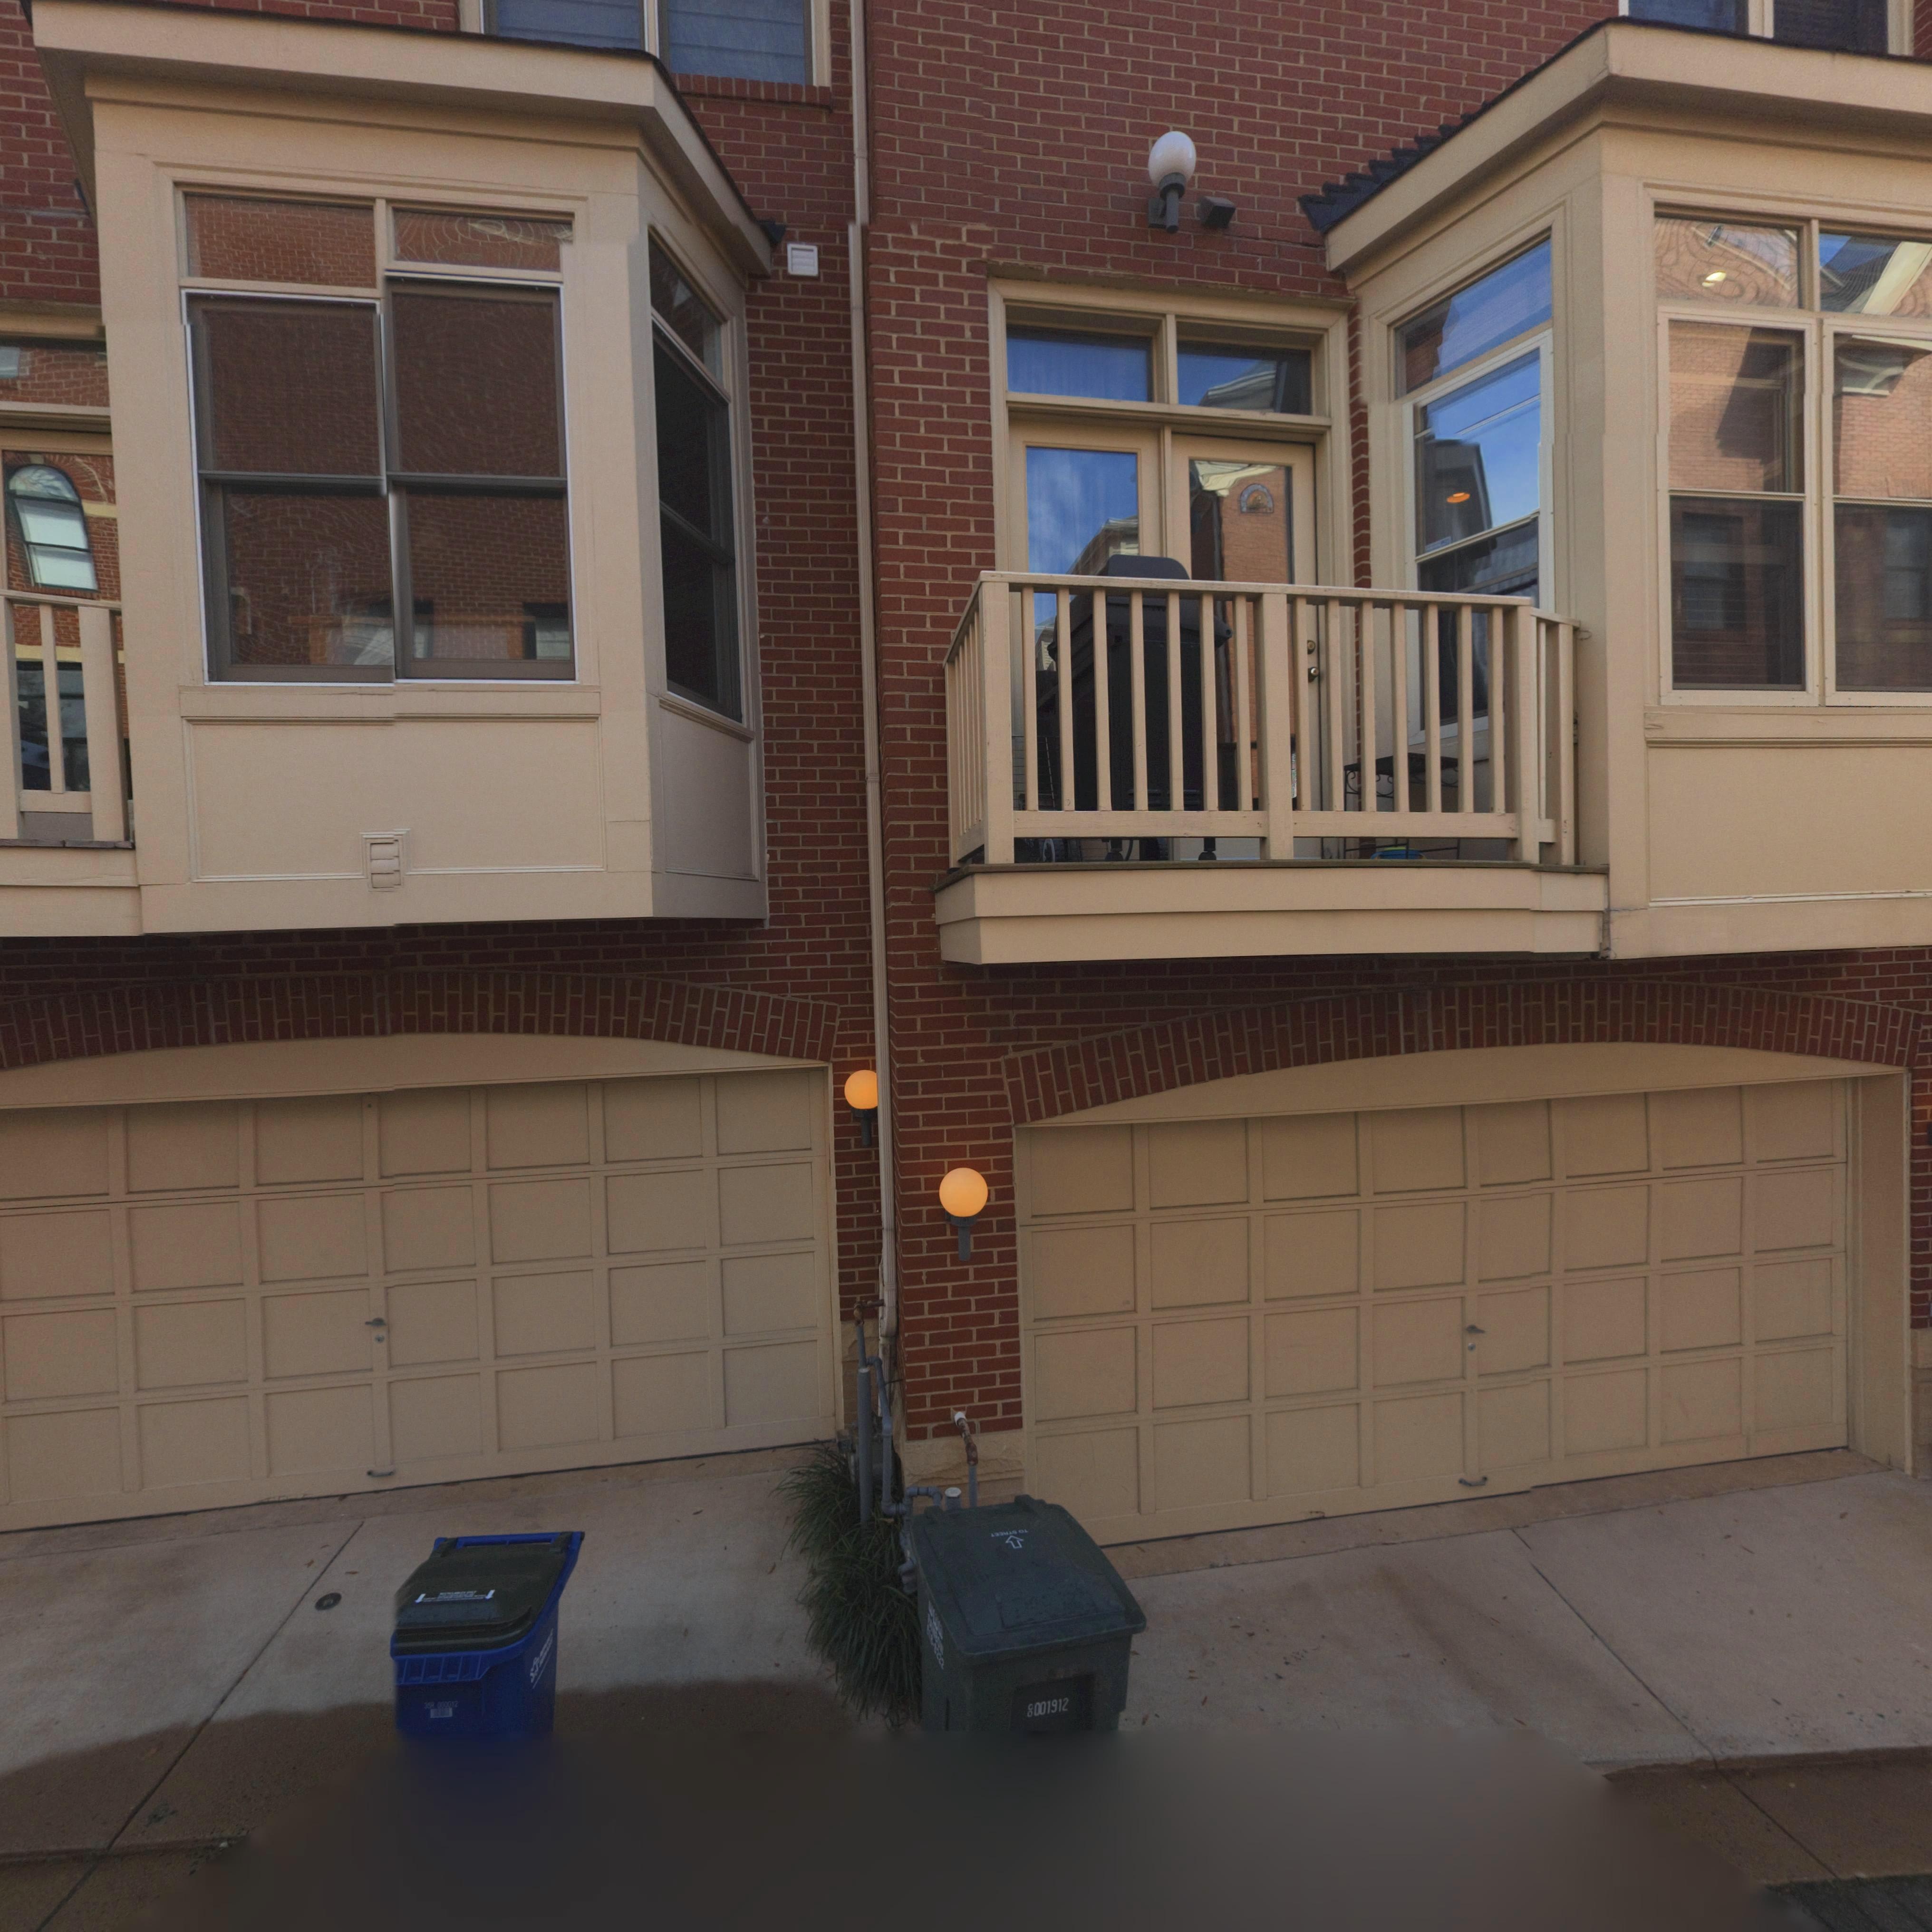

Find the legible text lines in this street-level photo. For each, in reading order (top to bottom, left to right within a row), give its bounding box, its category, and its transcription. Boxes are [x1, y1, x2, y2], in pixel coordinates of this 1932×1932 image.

[988, 1527, 1029, 1538] None: ****** 0*
[1026, 1695, 1070, 1719] None: 8001912